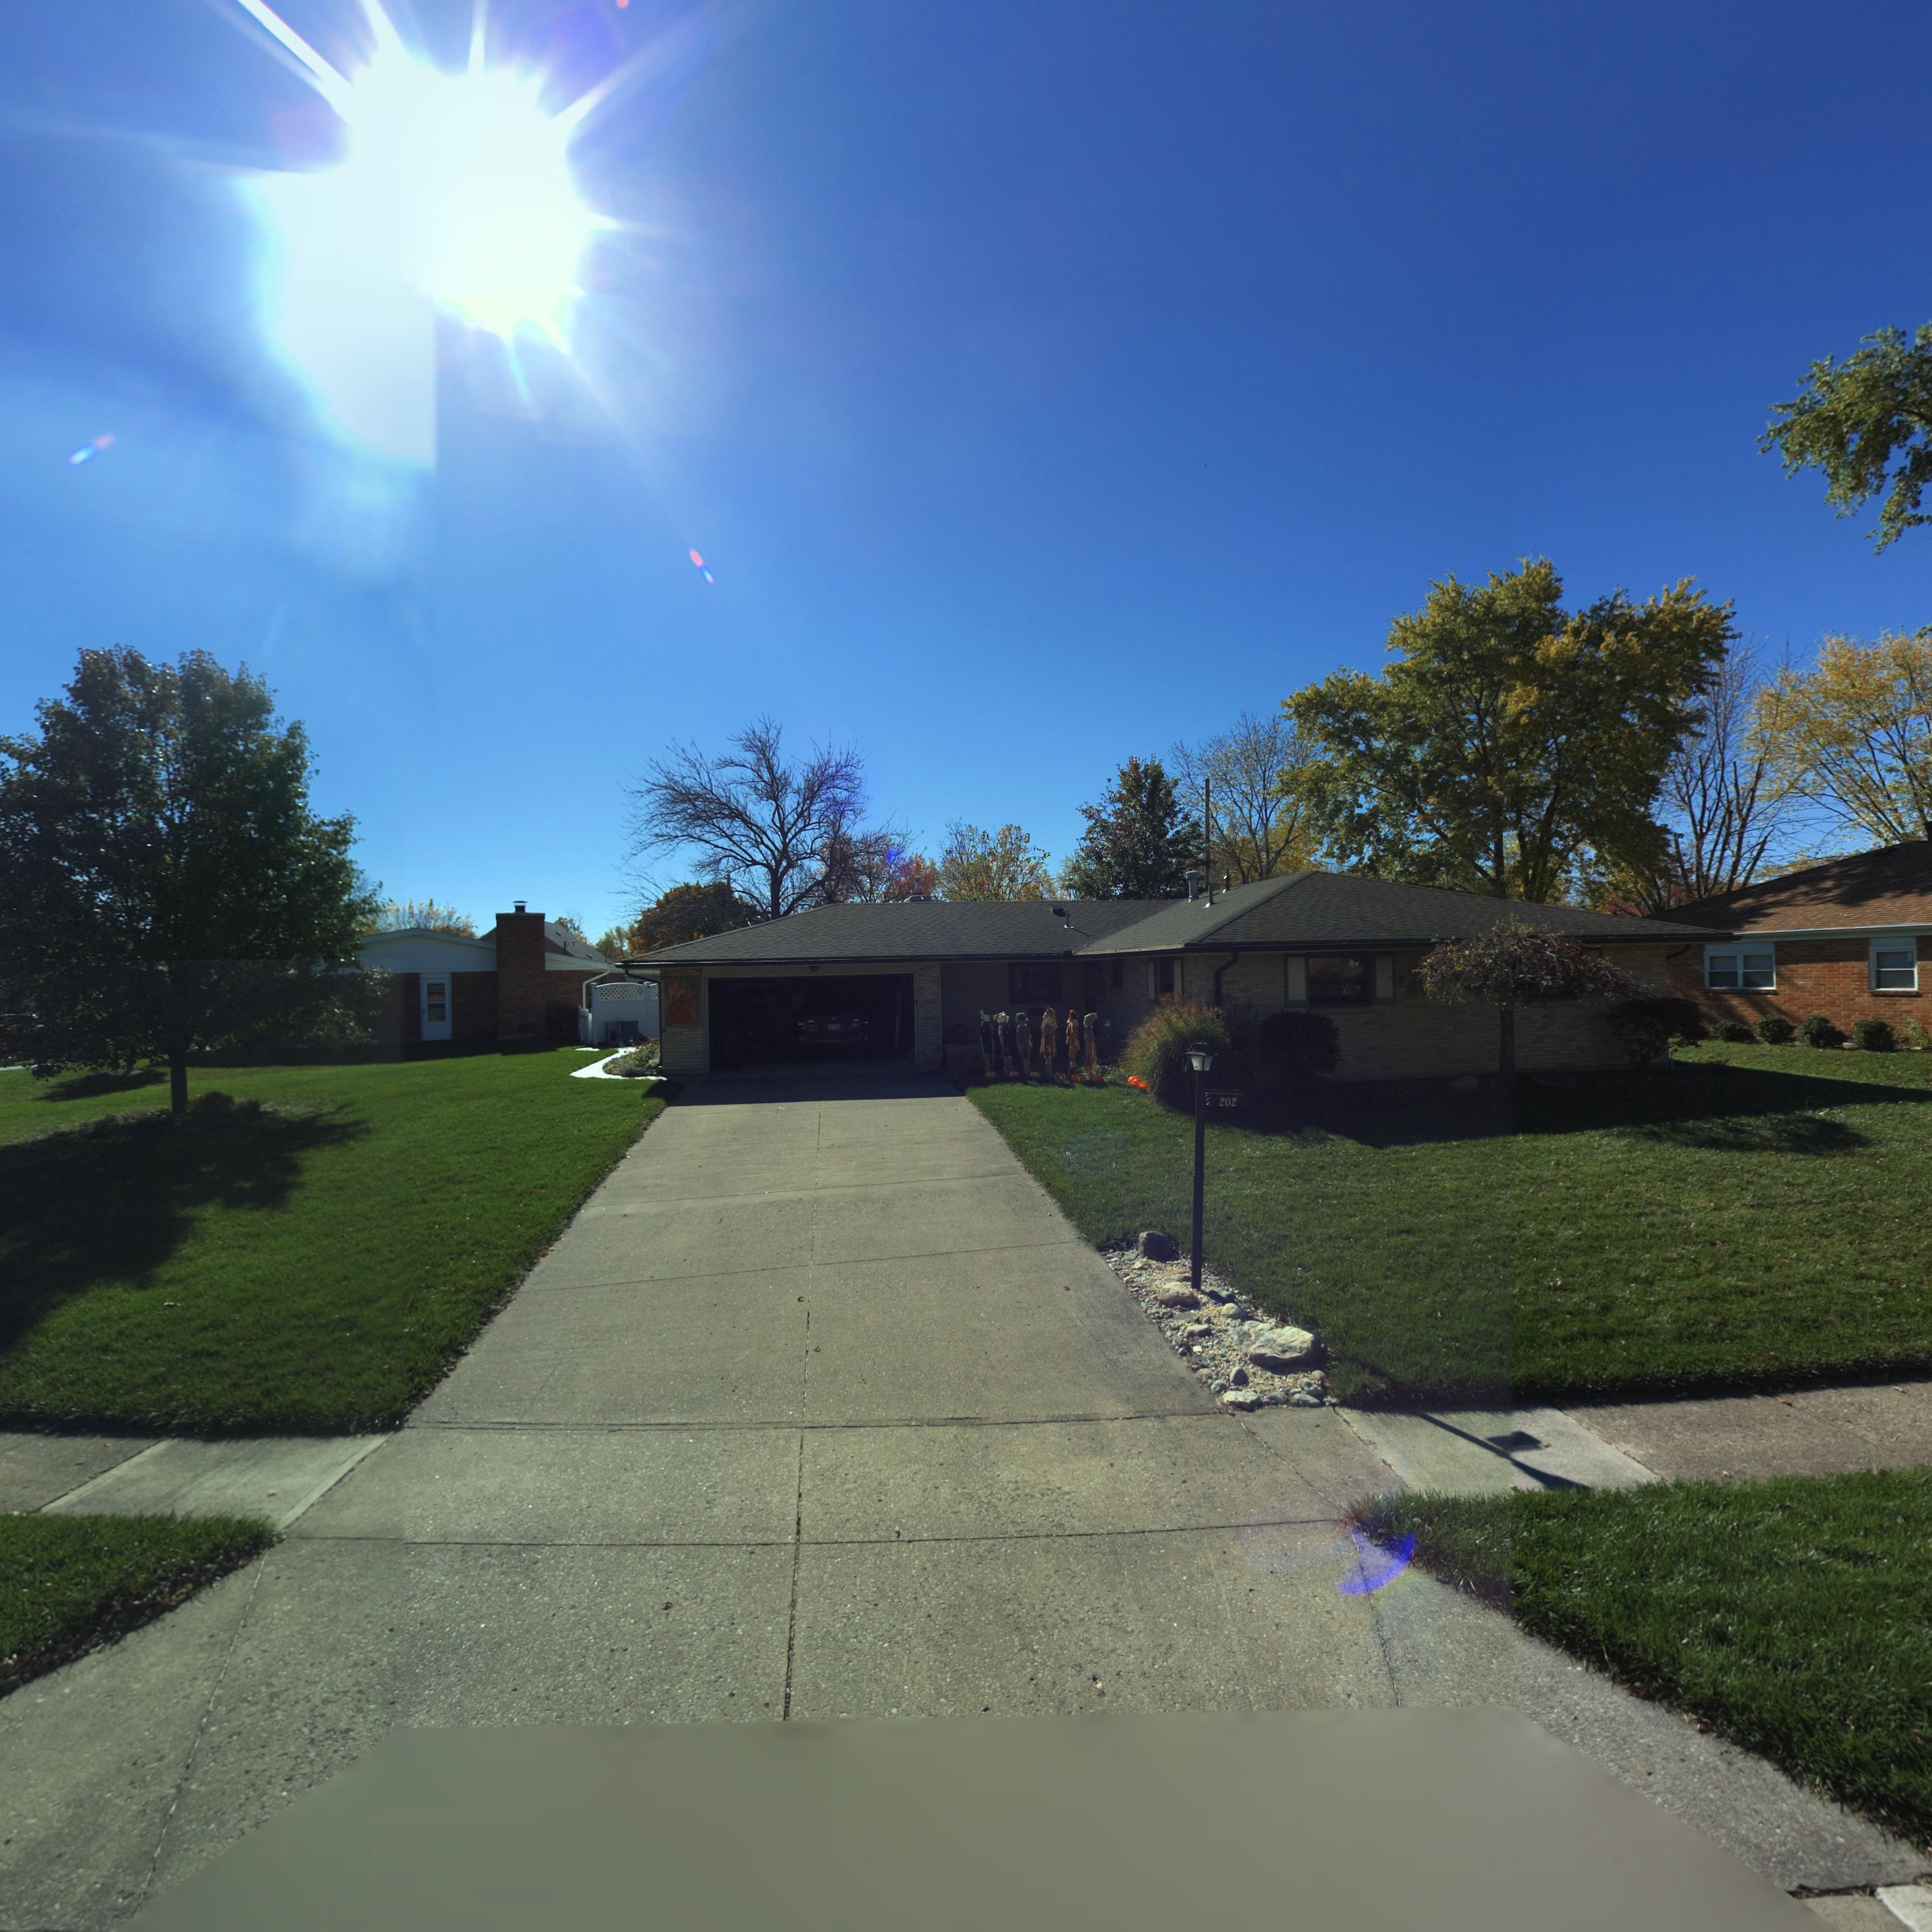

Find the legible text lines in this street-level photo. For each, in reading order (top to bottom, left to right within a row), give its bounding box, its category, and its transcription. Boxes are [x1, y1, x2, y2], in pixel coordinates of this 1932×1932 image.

[1218, 1096, 1237, 1107] StreetNumber: 202